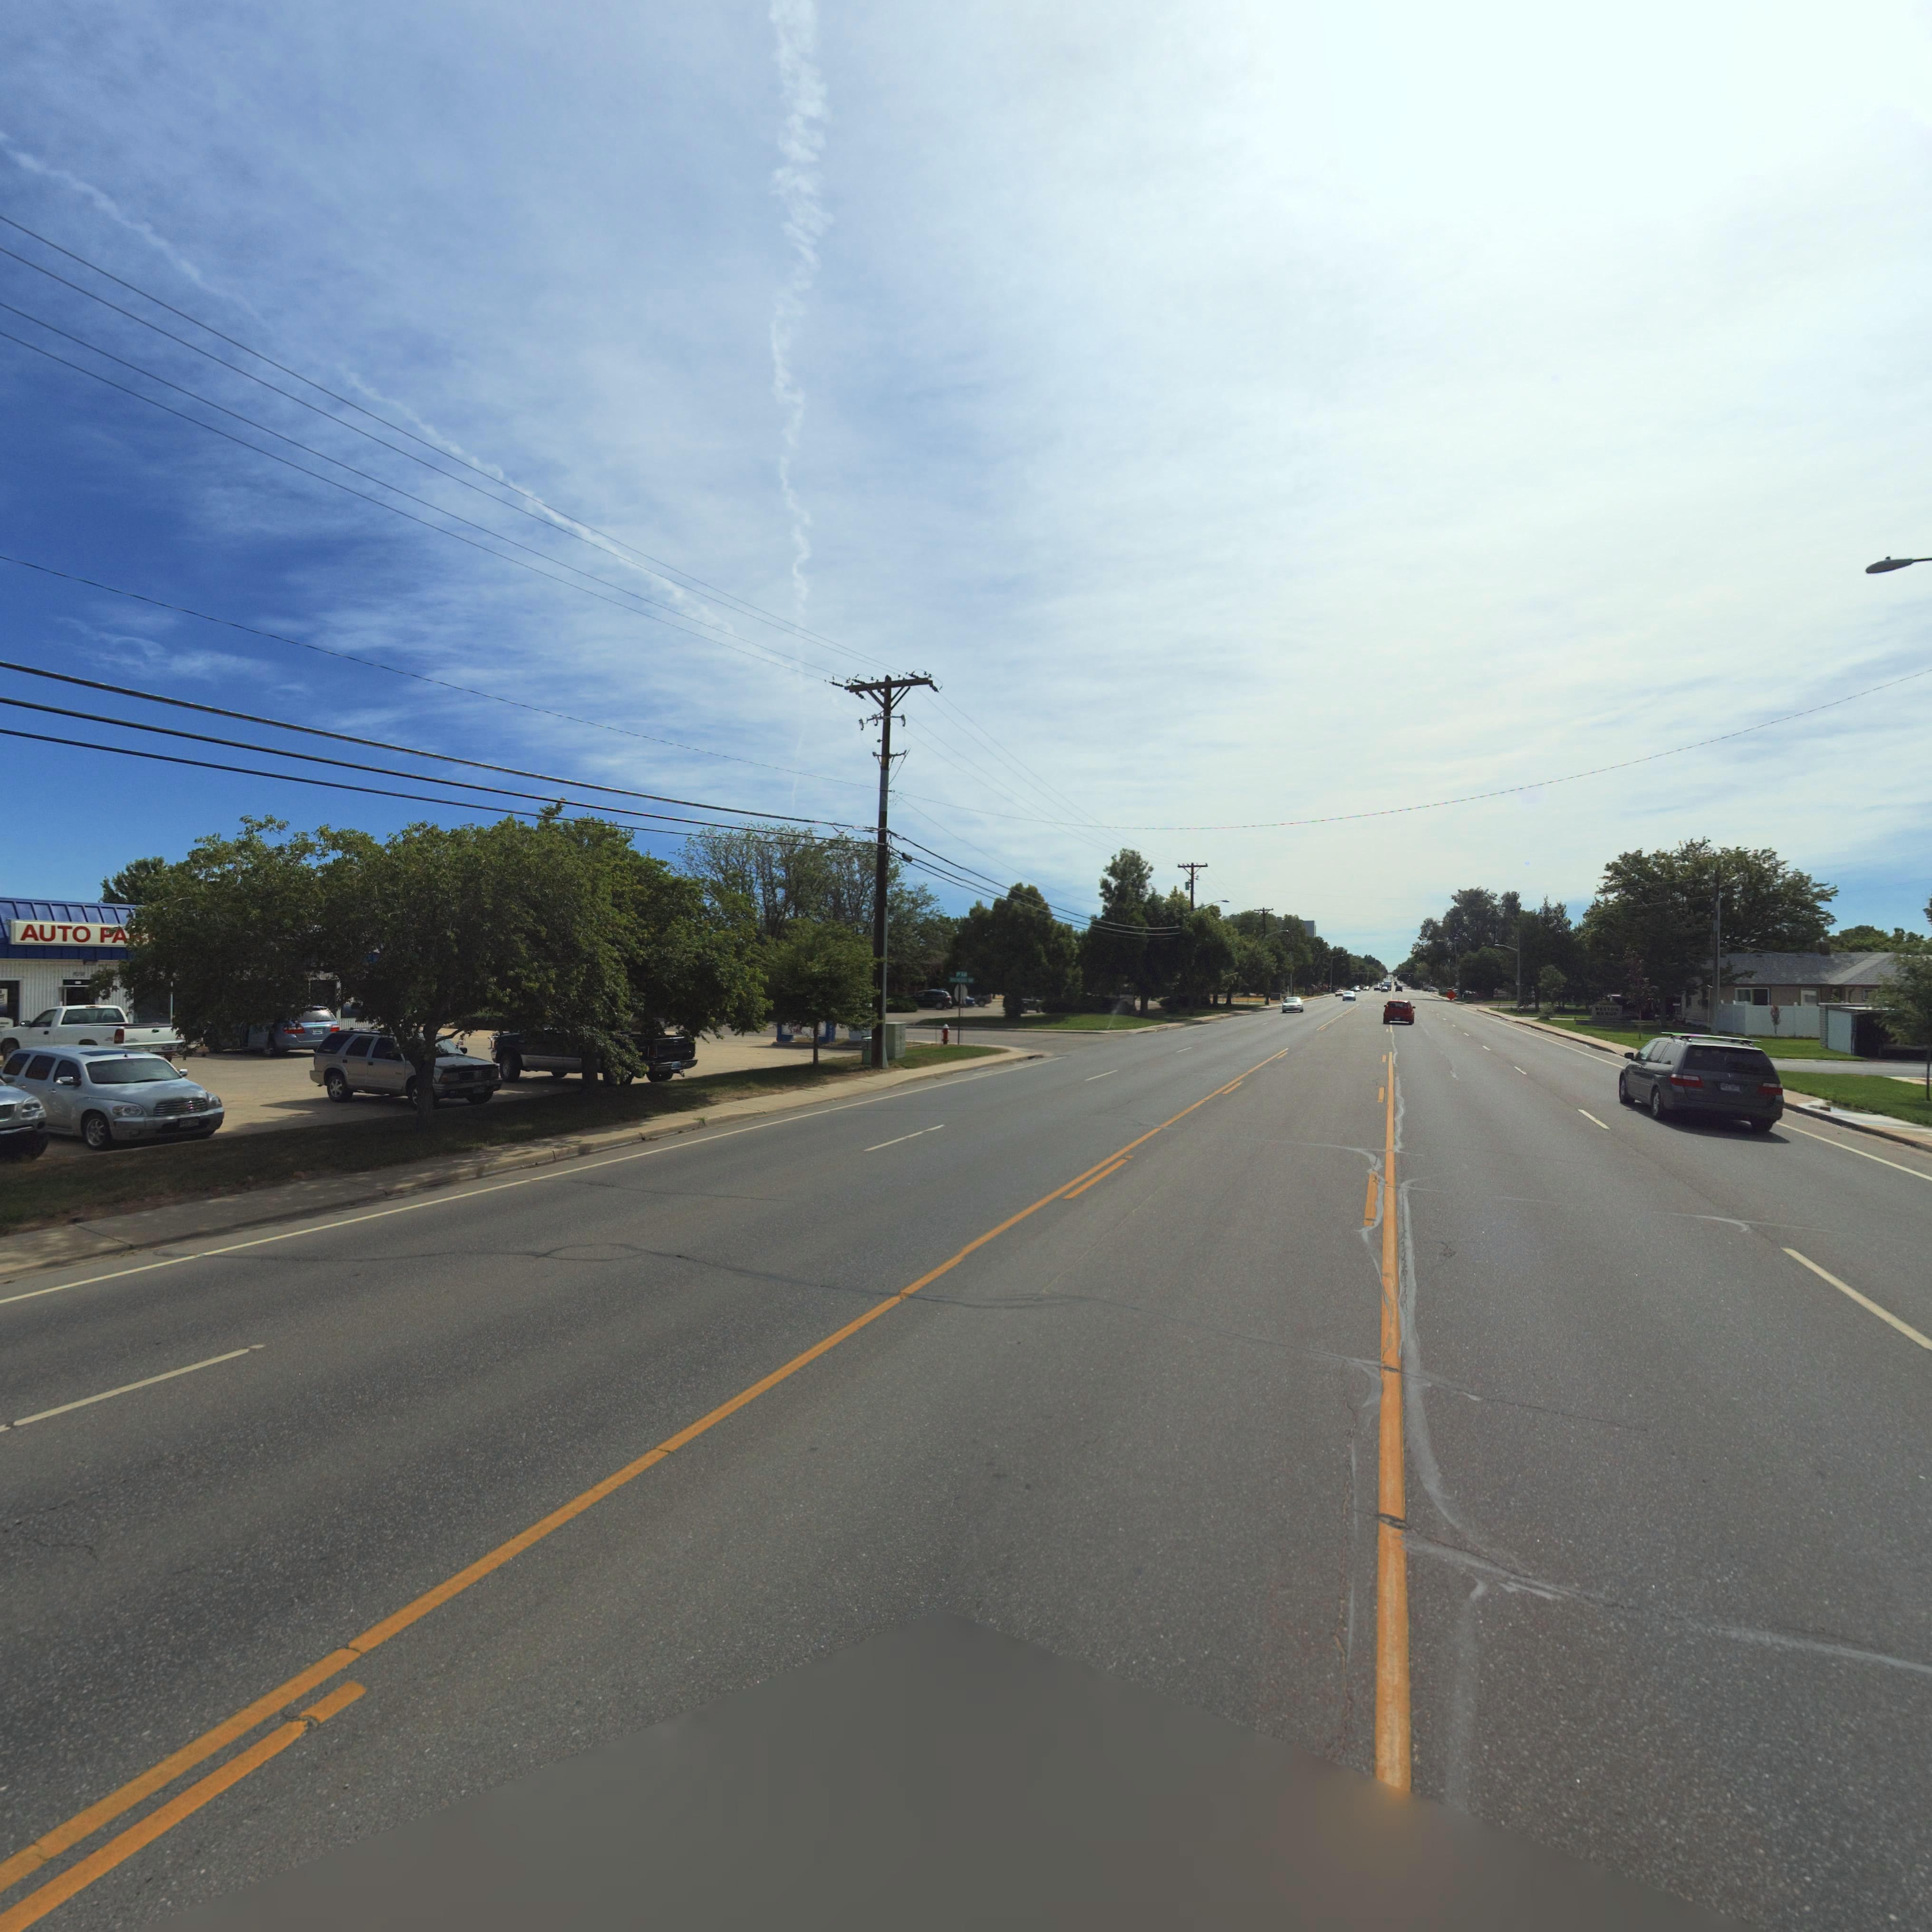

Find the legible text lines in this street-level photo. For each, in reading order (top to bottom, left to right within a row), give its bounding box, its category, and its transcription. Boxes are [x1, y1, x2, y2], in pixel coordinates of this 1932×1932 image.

[19, 924, 164, 945] BusinessName: AUTO *A***
[949, 977, 973, 983] StreetName: **C**** **
[1594, 1007, 1619, 1012] BusinessName: **S*O*
[1595, 1011, 1617, 1016] BusinessName: ***O*